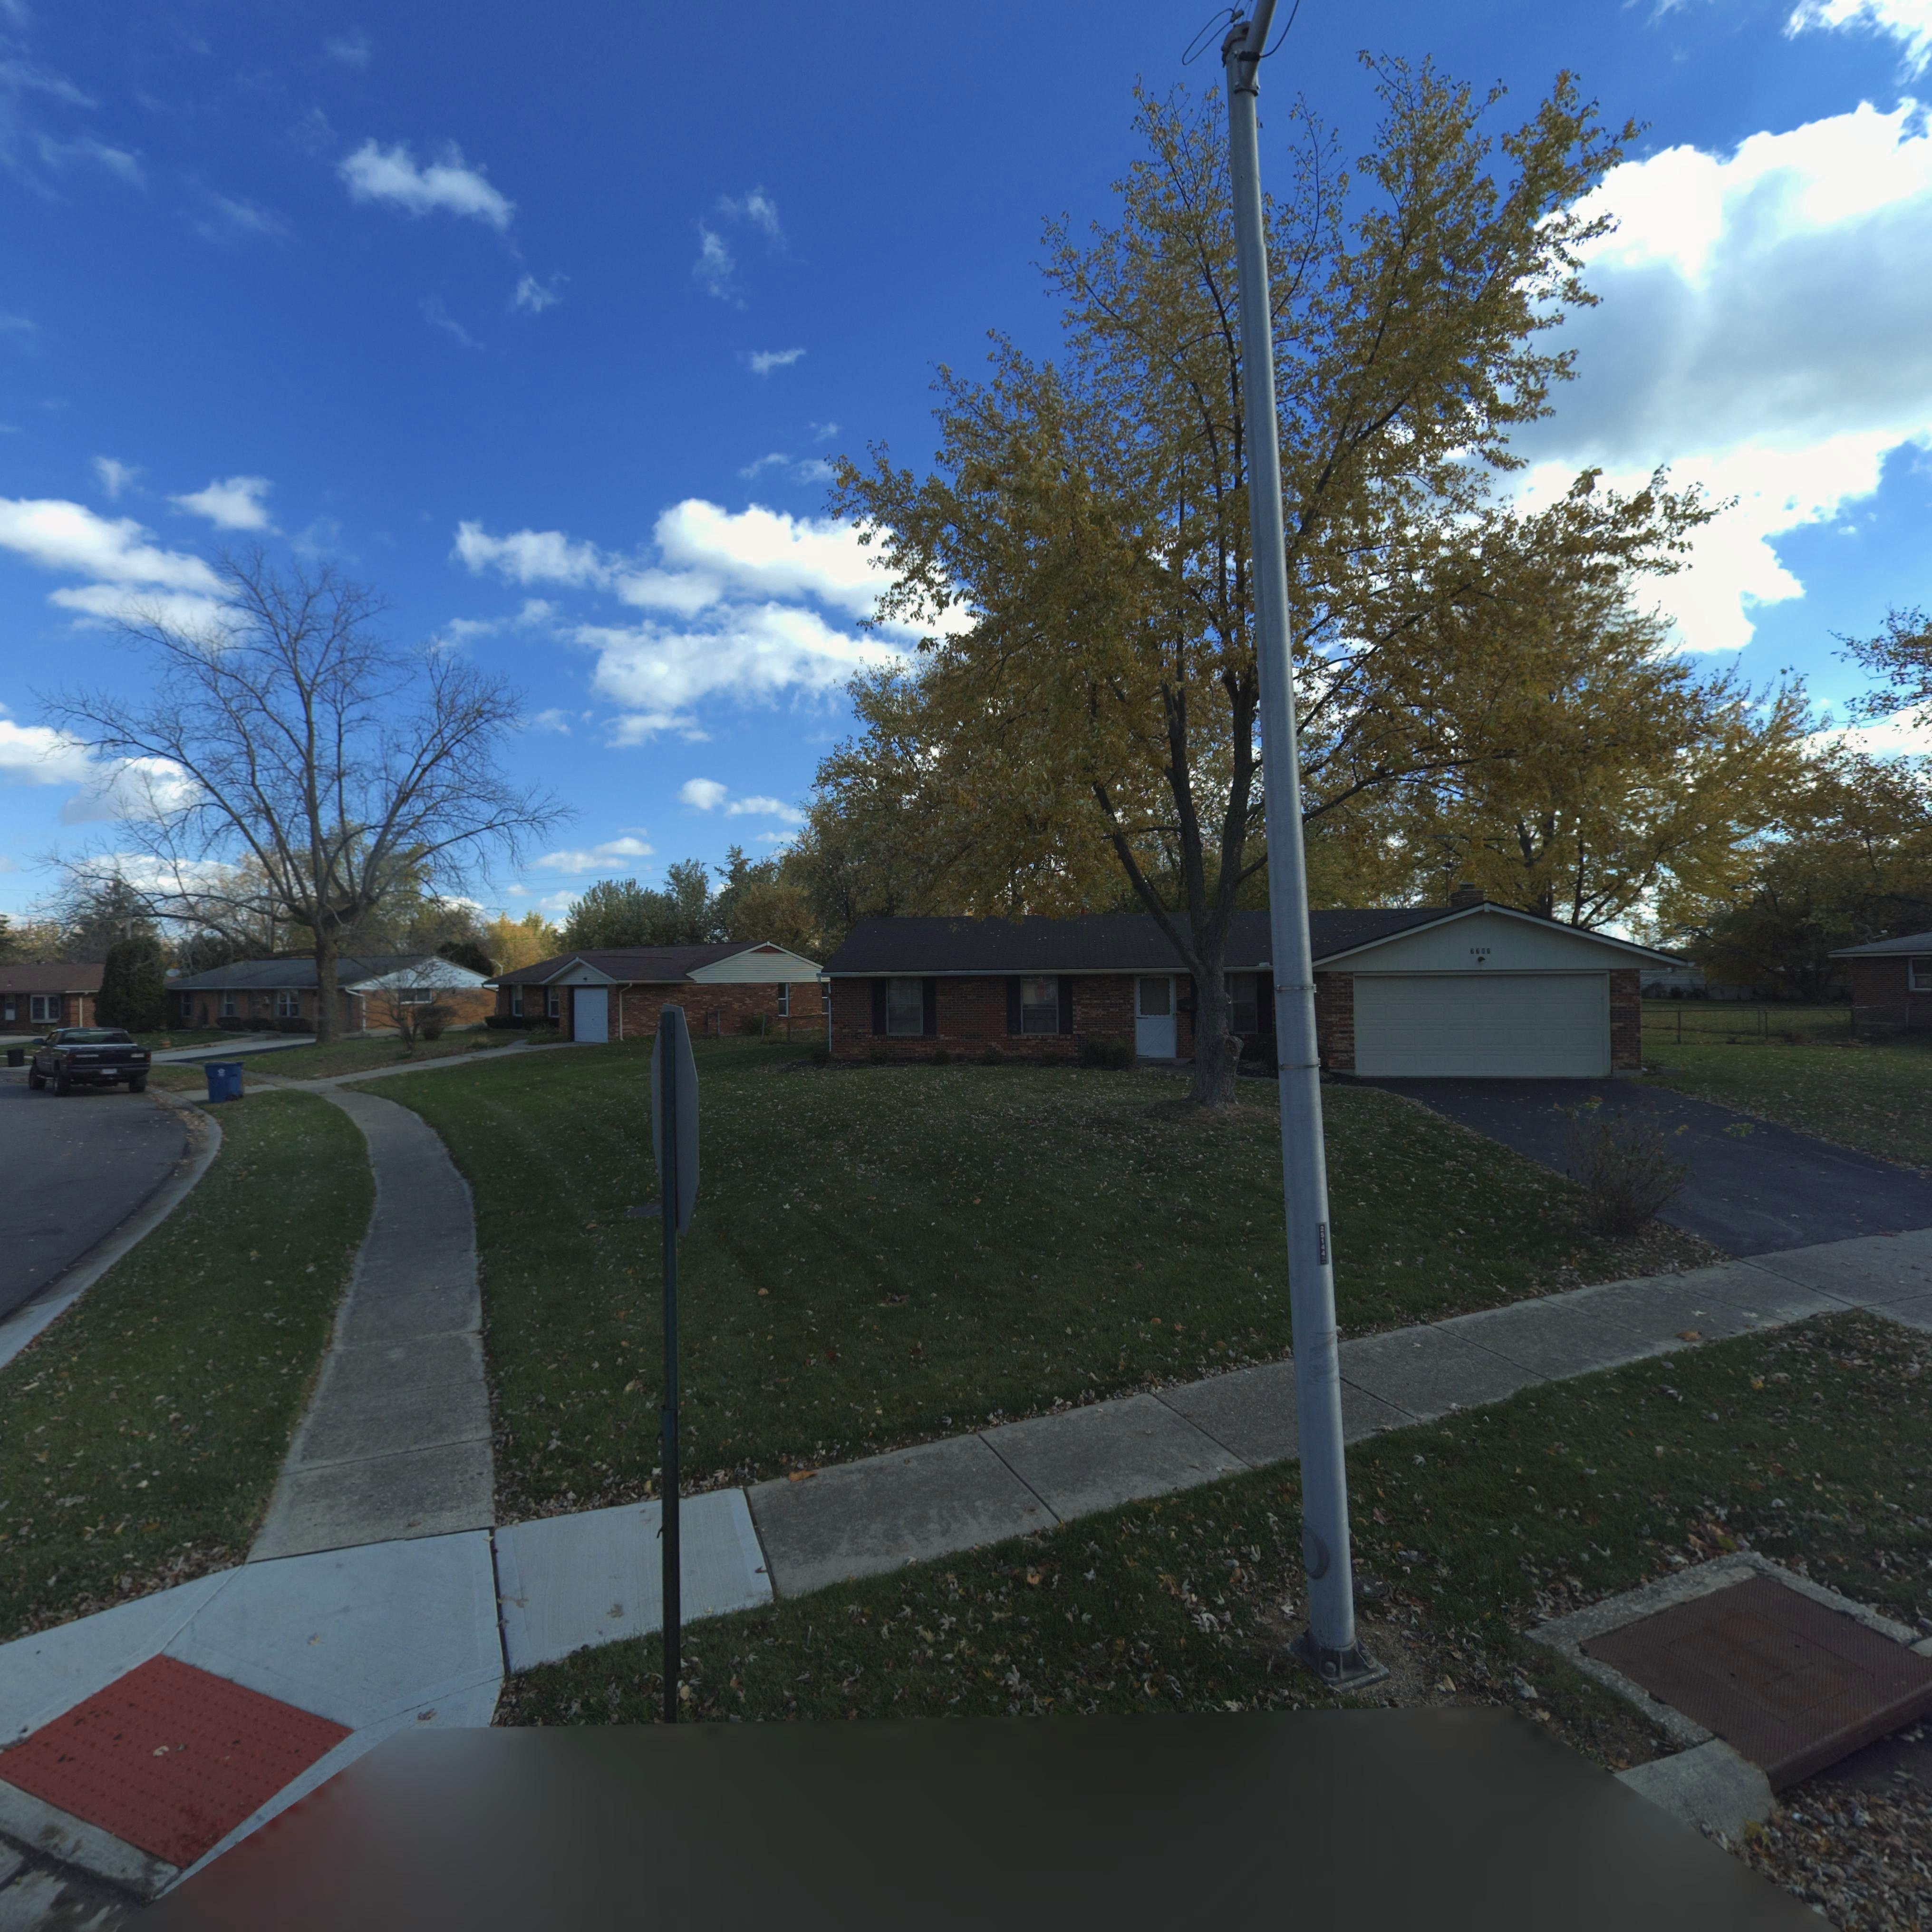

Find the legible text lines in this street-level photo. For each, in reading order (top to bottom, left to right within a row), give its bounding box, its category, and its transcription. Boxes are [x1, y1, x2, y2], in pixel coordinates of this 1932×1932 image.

[1470, 948, 1490, 954] StreetNumber: 7781